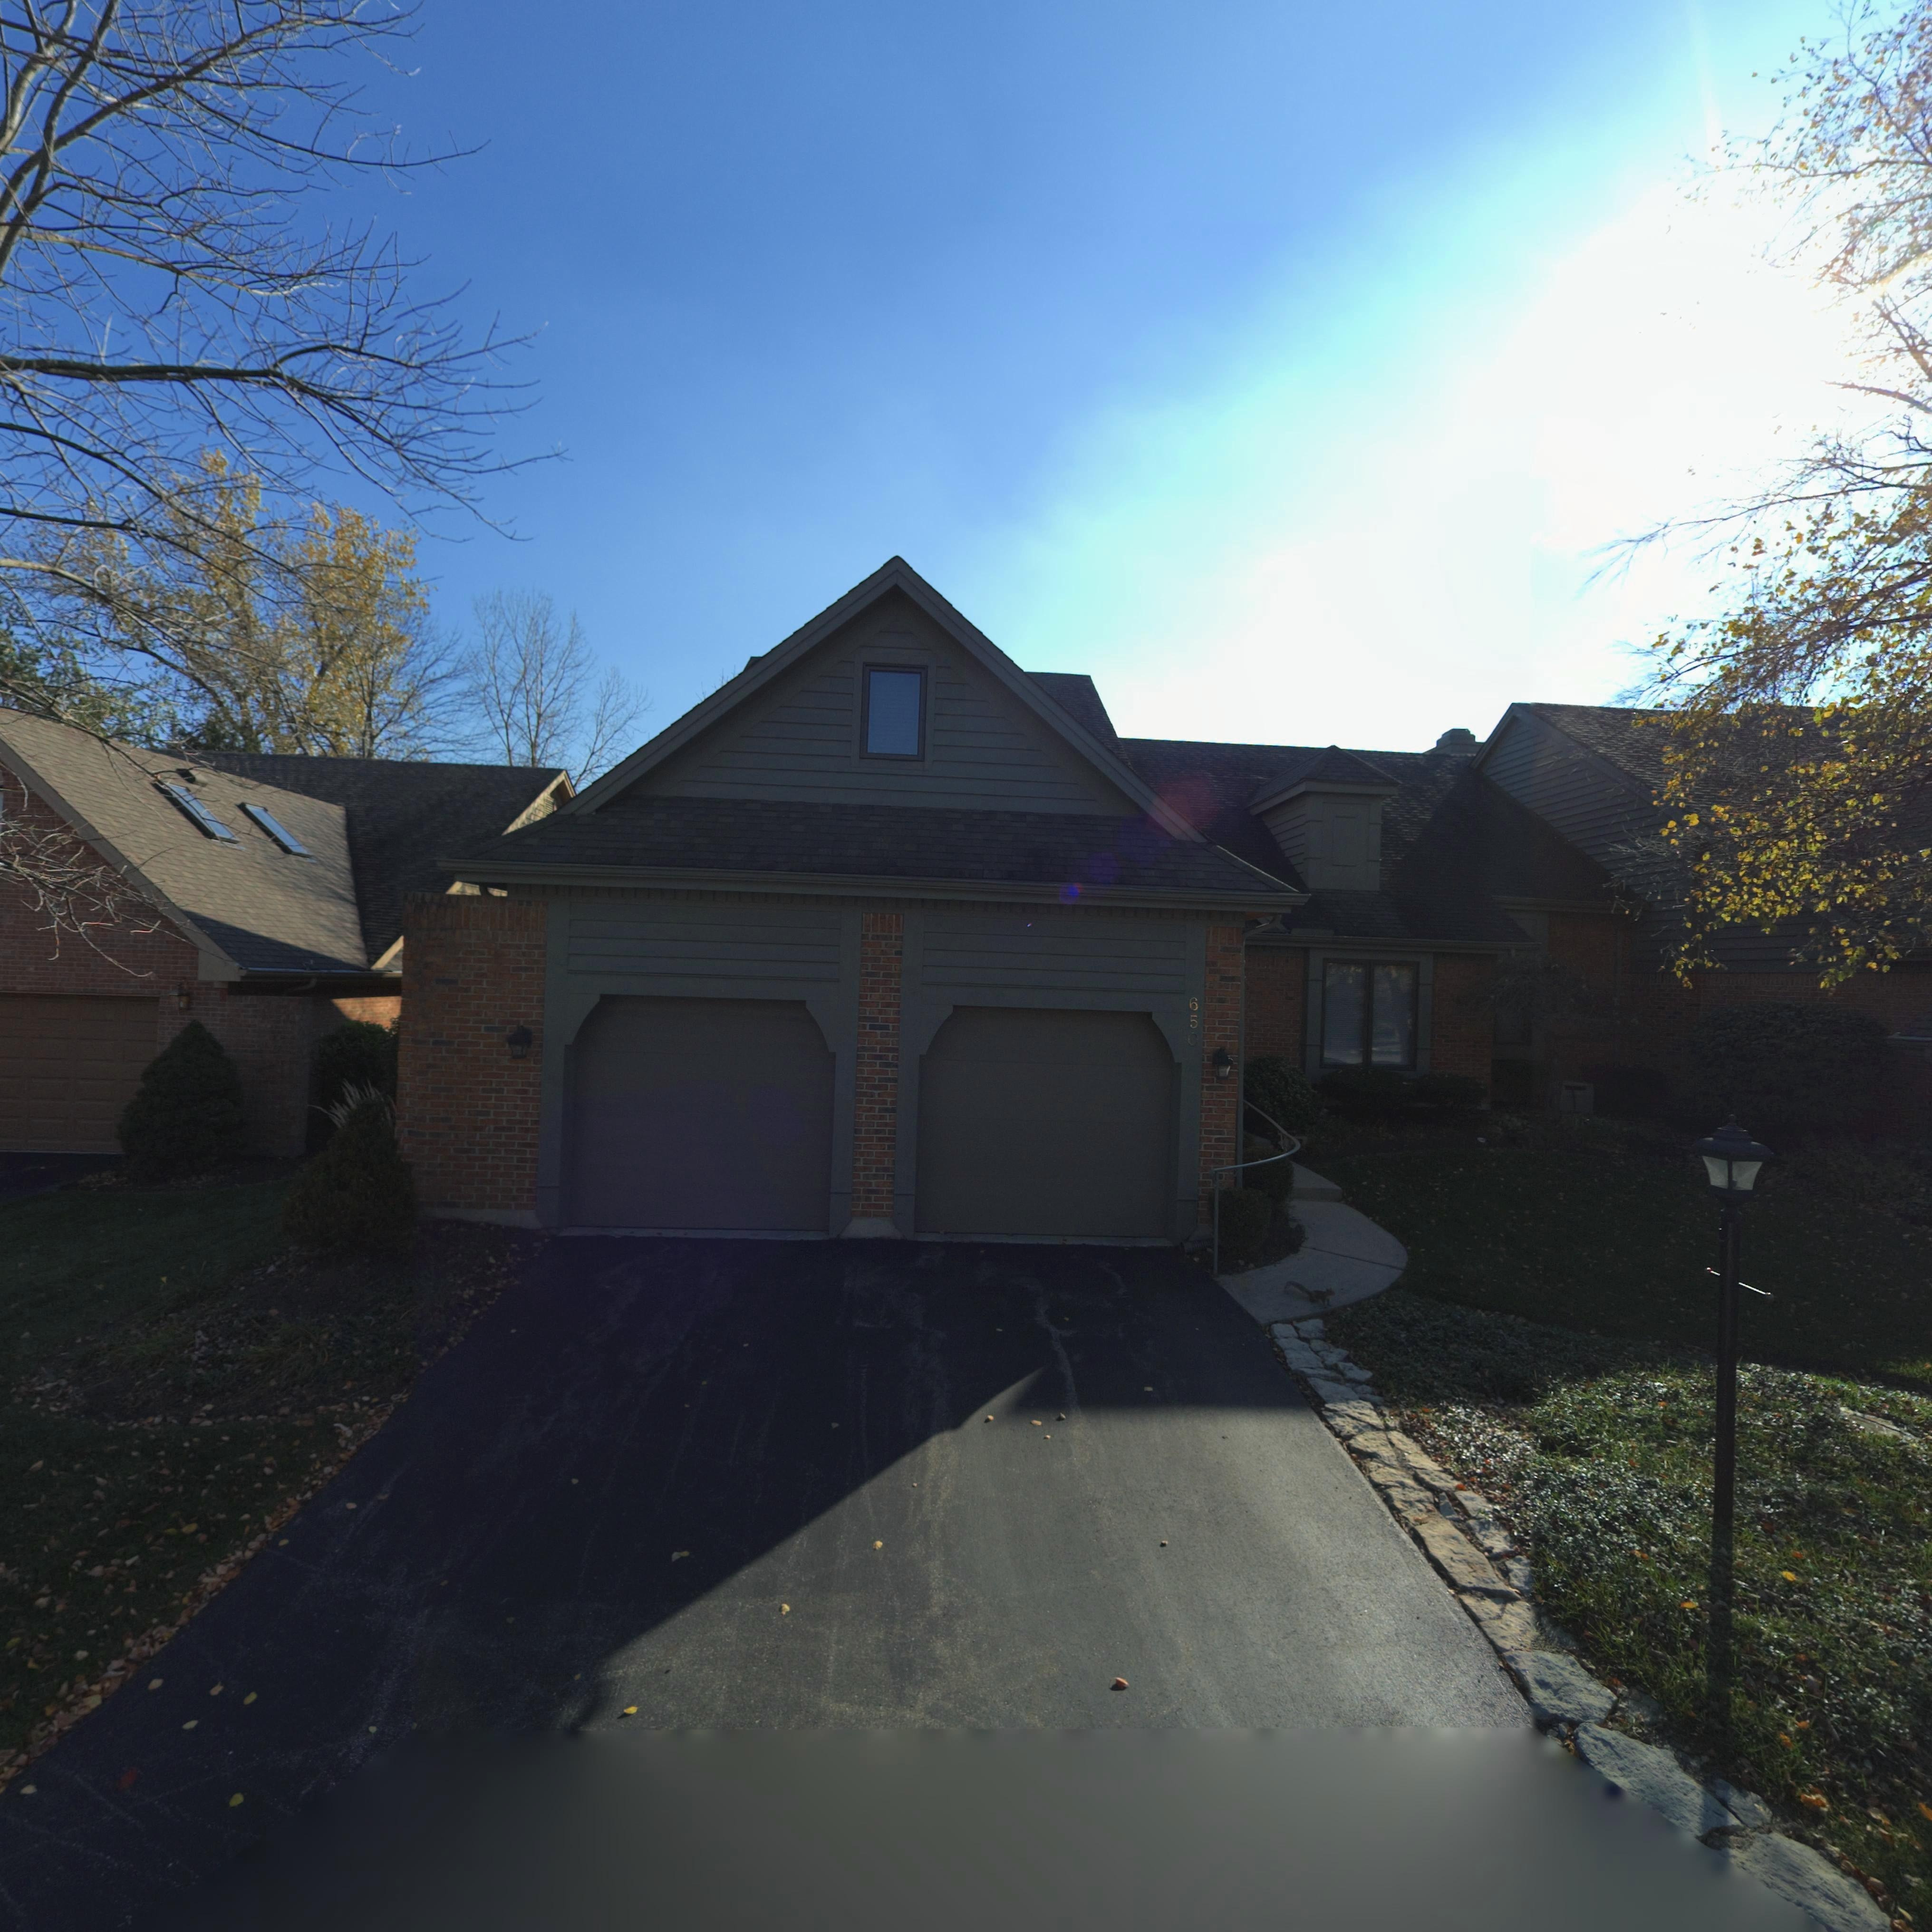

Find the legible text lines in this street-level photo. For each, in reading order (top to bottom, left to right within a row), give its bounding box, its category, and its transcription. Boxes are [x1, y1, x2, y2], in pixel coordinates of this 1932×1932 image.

[1187, 995, 1201, 1048] StreetNumber: 650